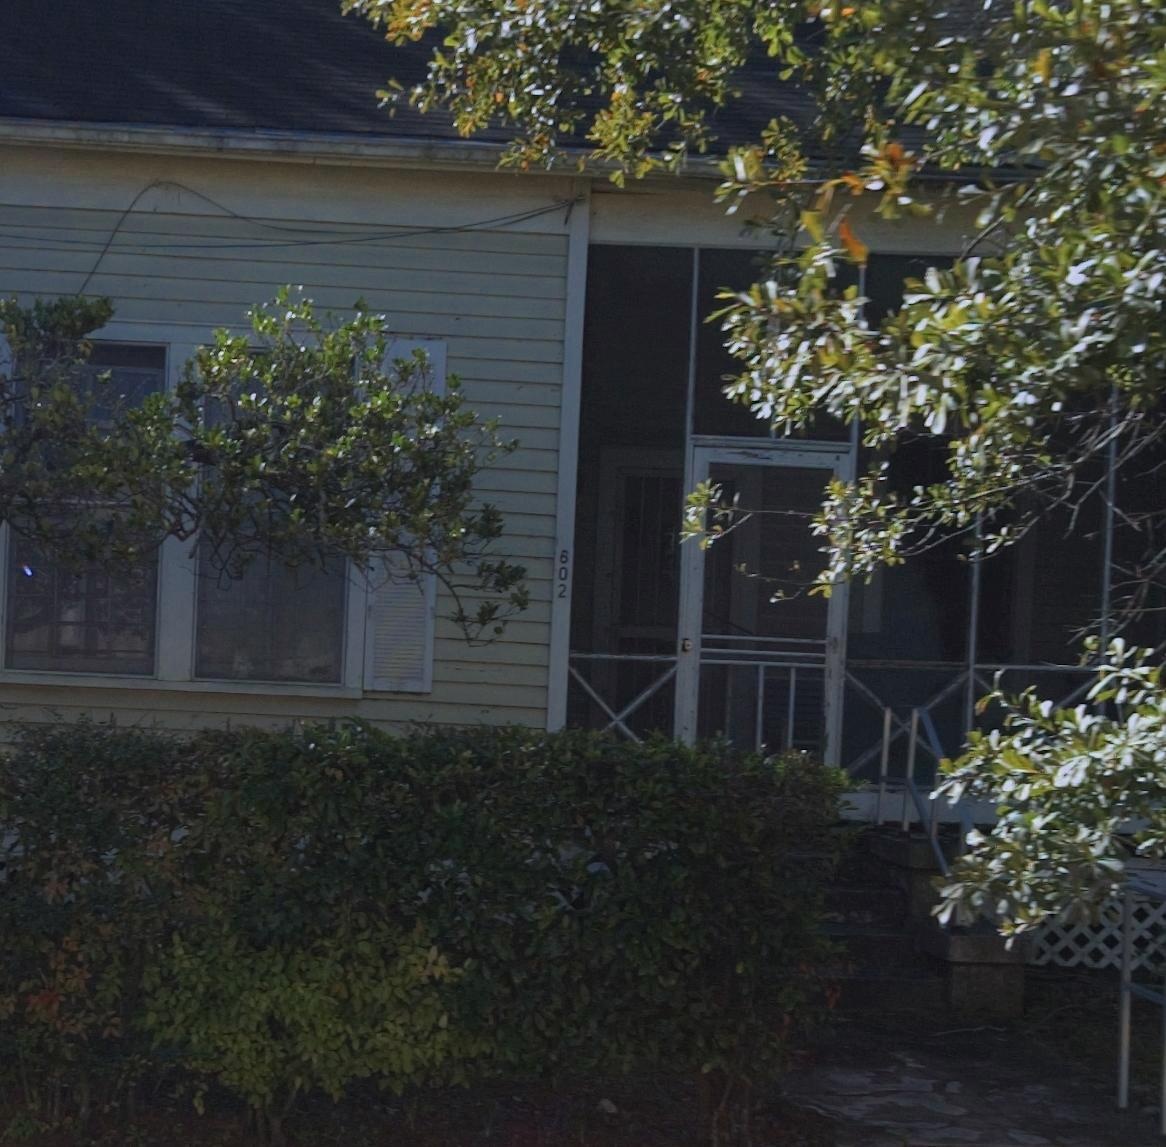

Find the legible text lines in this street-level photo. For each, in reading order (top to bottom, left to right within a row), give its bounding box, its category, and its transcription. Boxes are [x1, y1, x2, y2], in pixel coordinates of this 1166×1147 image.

[554, 546, 571, 601] StreetNumber: 602